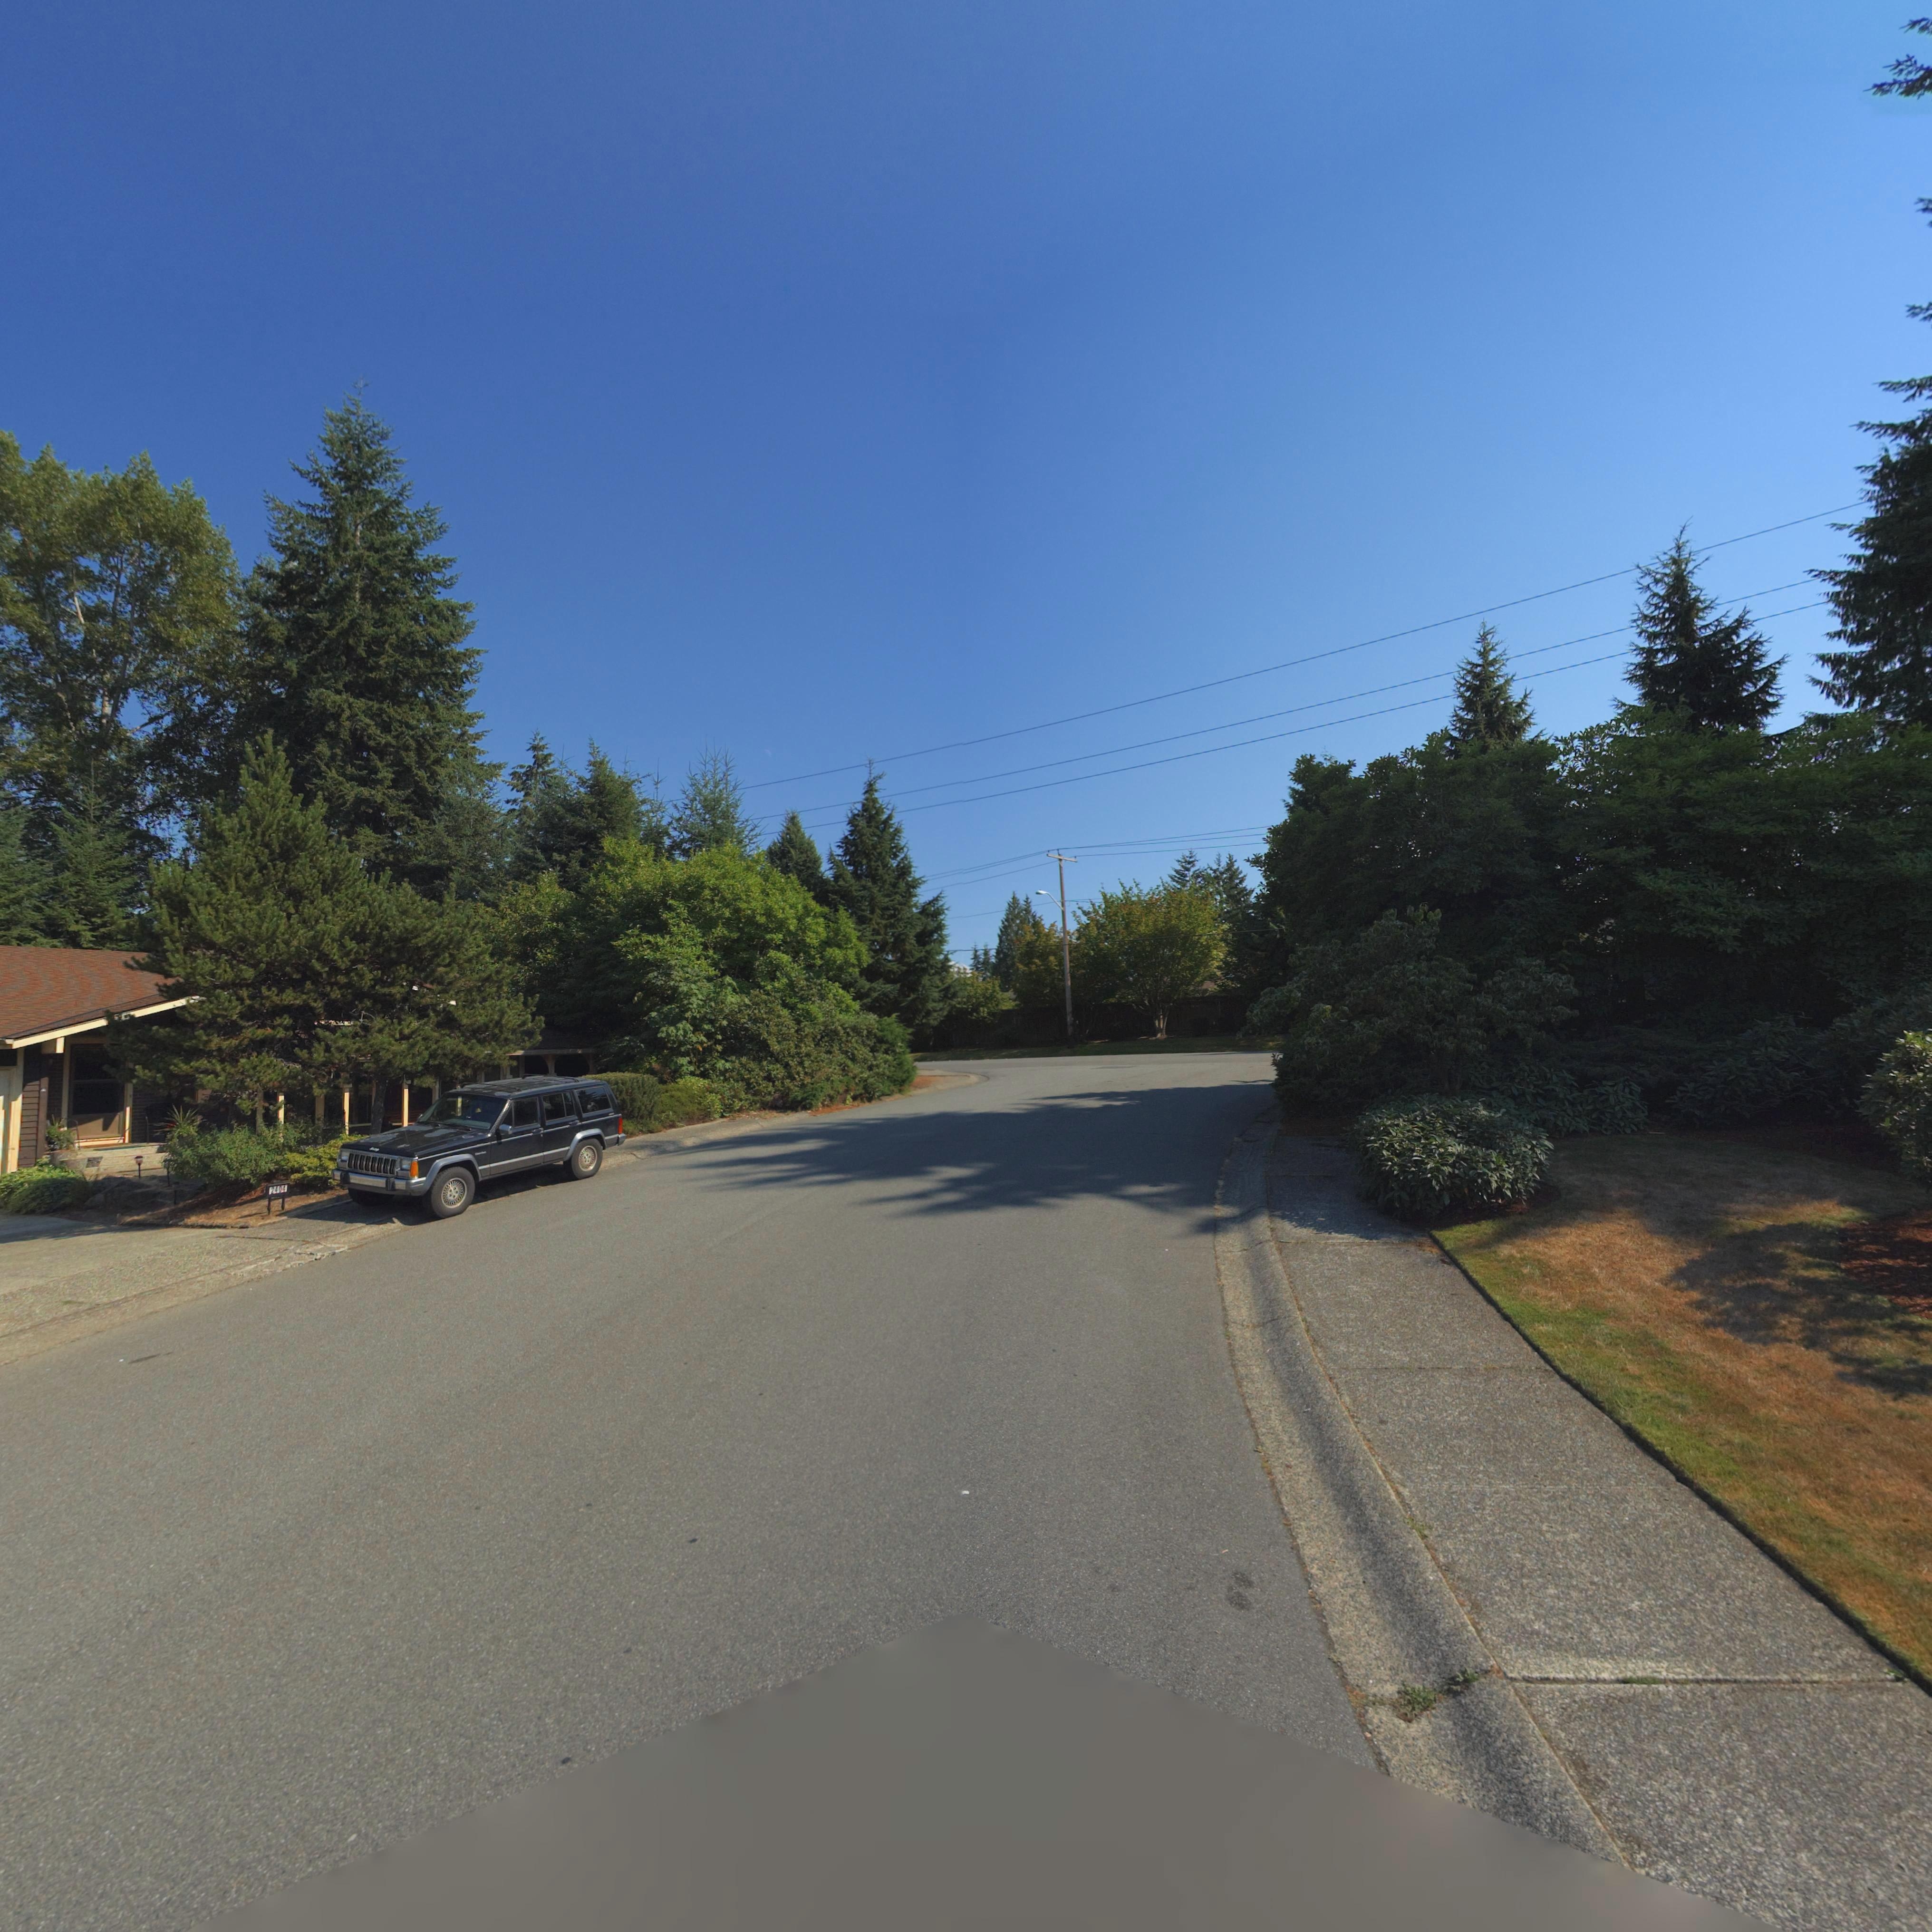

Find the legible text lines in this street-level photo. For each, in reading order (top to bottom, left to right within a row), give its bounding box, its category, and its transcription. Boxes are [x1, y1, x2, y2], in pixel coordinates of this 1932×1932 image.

[270, 1185, 286, 1194] StreetNumber: 2404